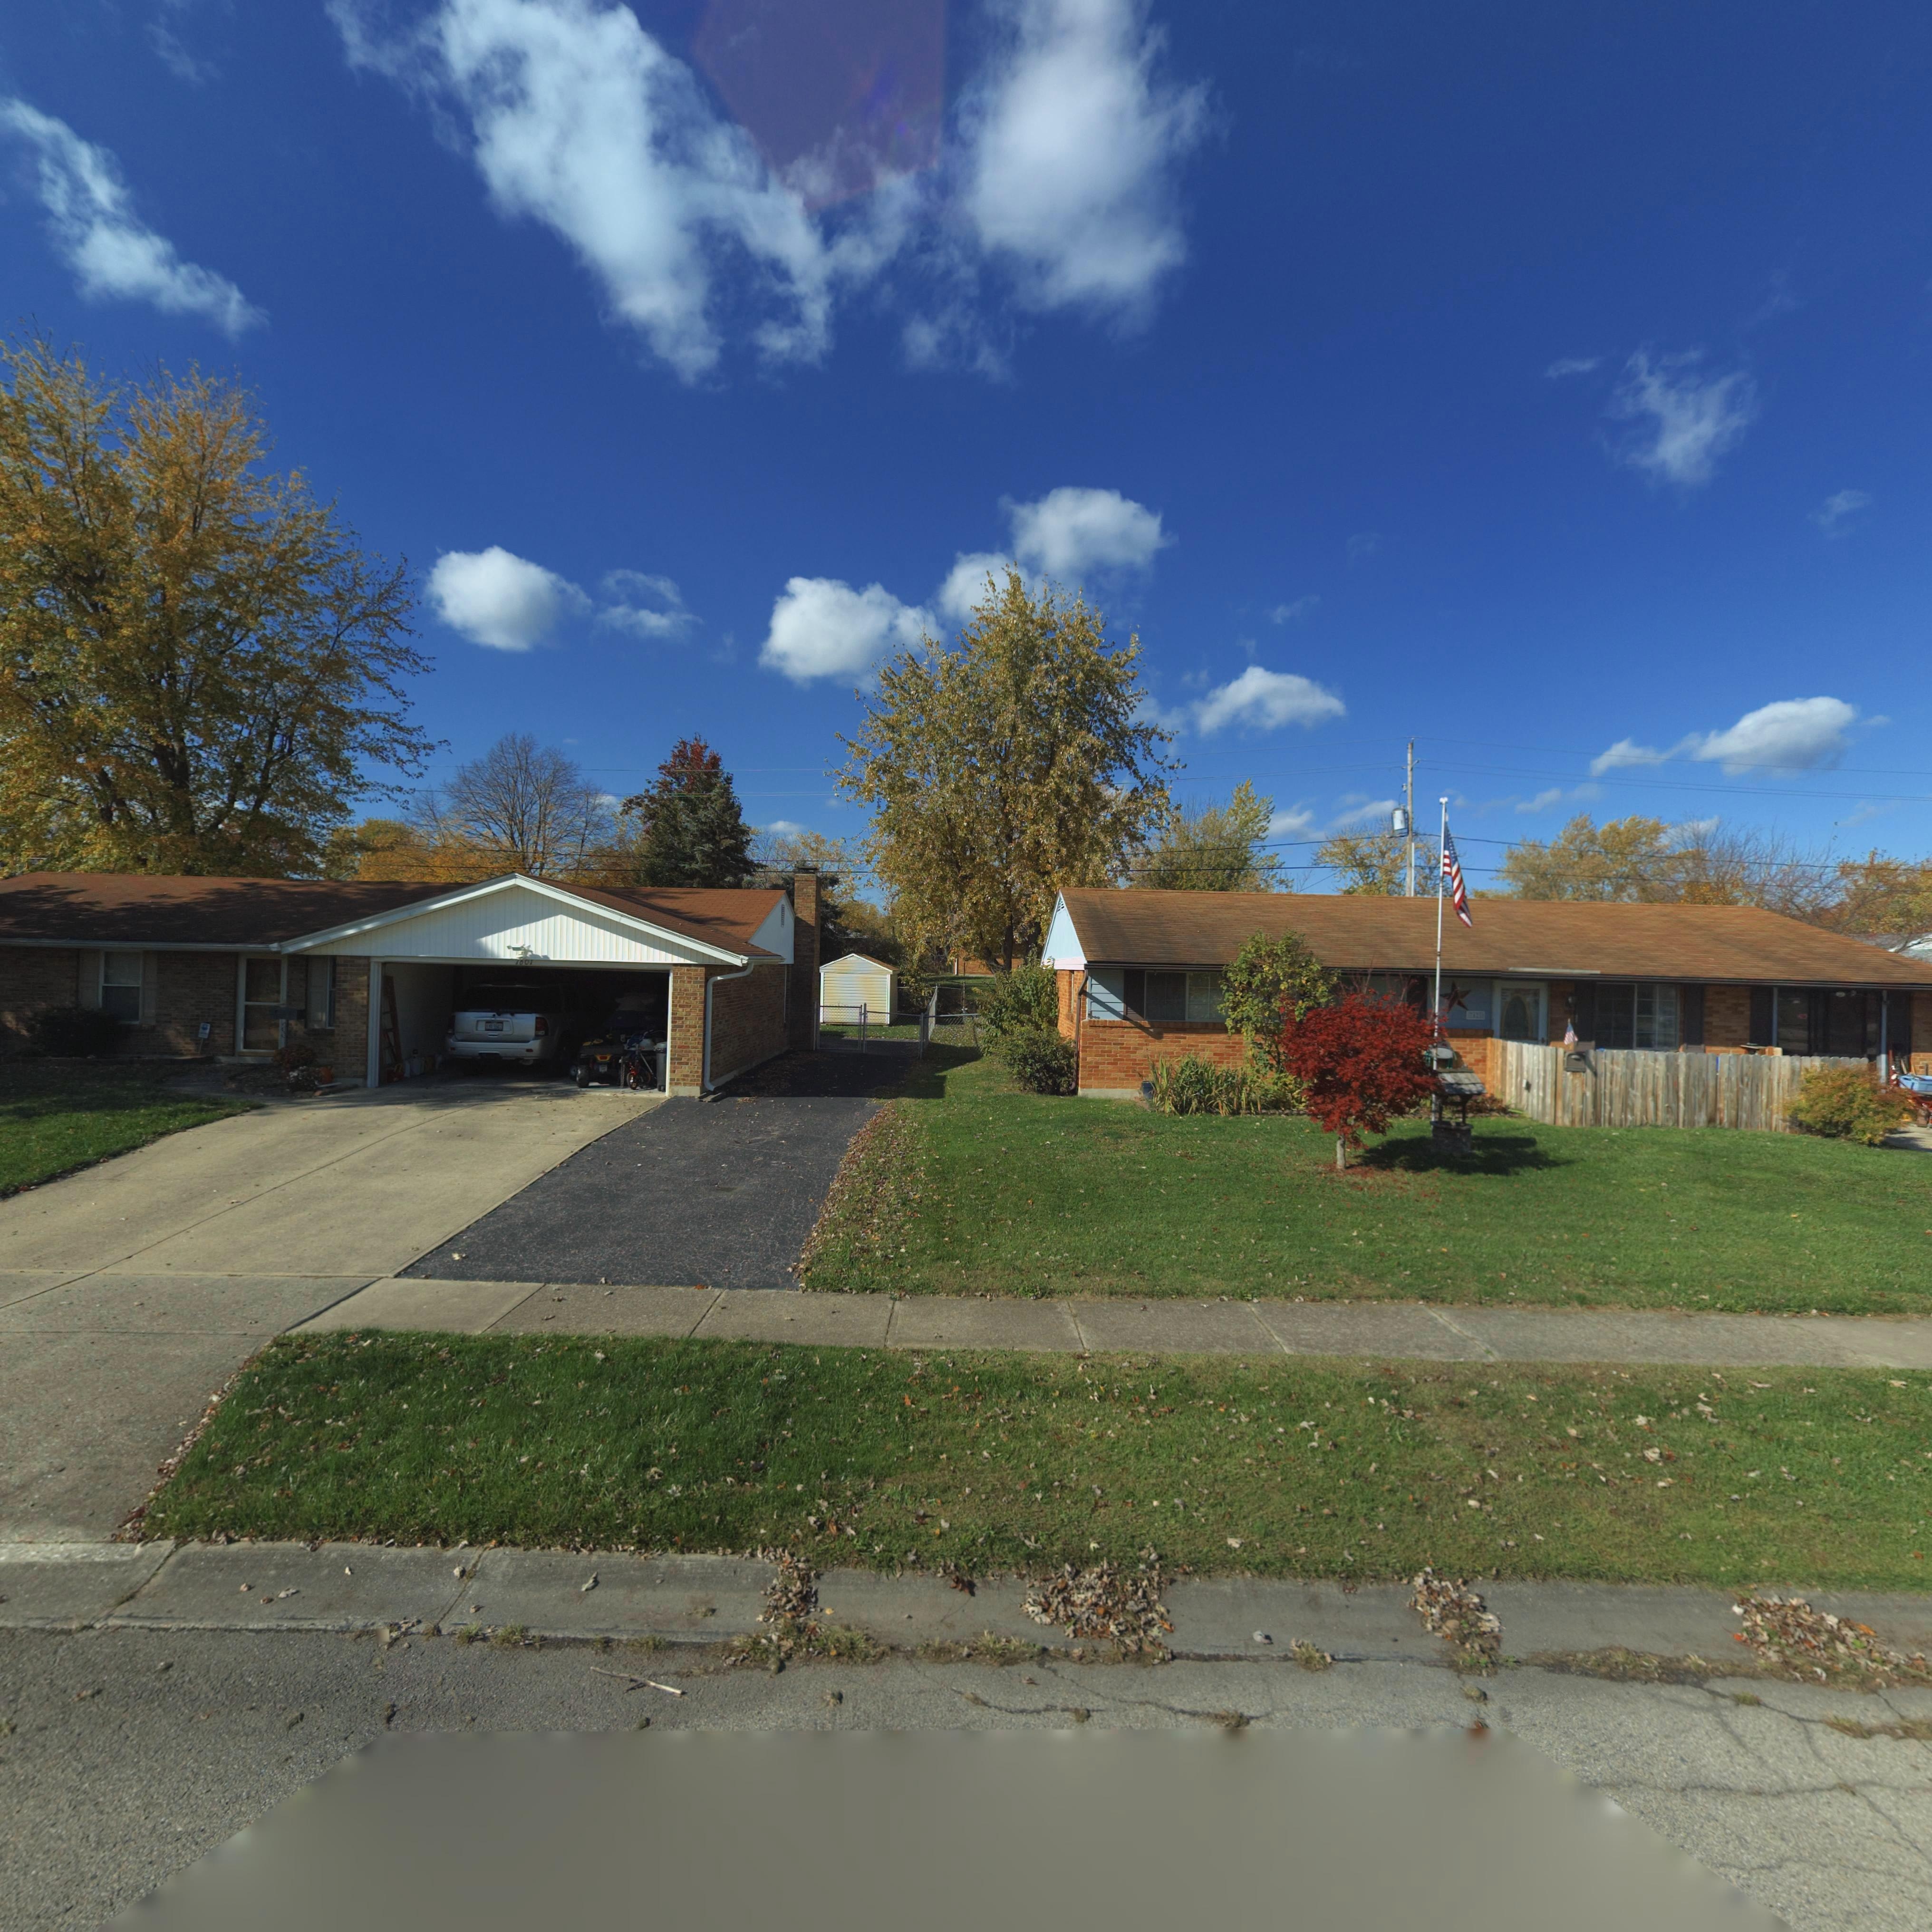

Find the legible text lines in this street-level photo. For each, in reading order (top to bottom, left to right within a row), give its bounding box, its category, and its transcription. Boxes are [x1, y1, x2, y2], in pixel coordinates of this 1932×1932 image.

[514, 958, 534, 966] StreetNumber: **0*